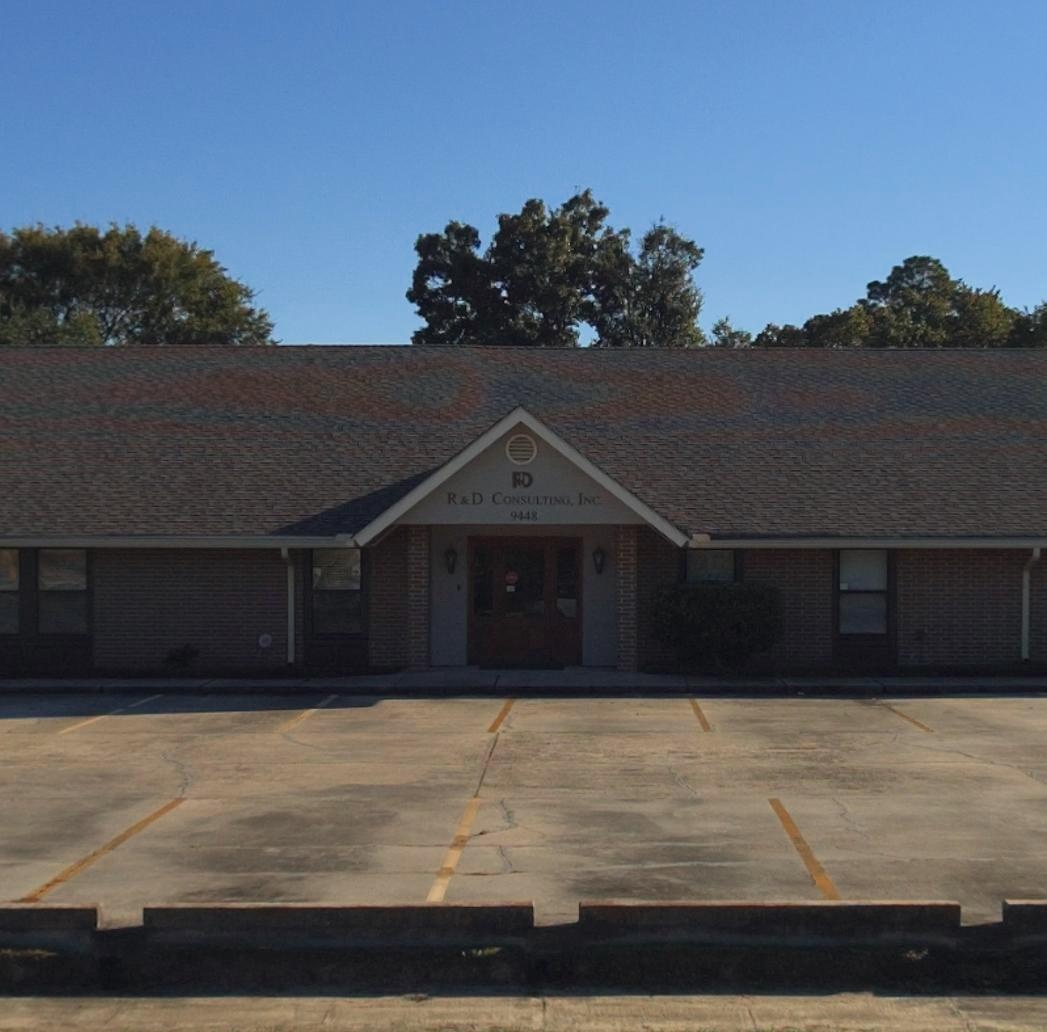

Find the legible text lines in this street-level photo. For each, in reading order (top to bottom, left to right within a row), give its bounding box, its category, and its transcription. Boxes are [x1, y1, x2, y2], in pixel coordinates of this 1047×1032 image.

[445, 491, 605, 507] BusinessName: R & D CONSULTING, INC.
[508, 509, 539, 523] StreetNumber: 9448